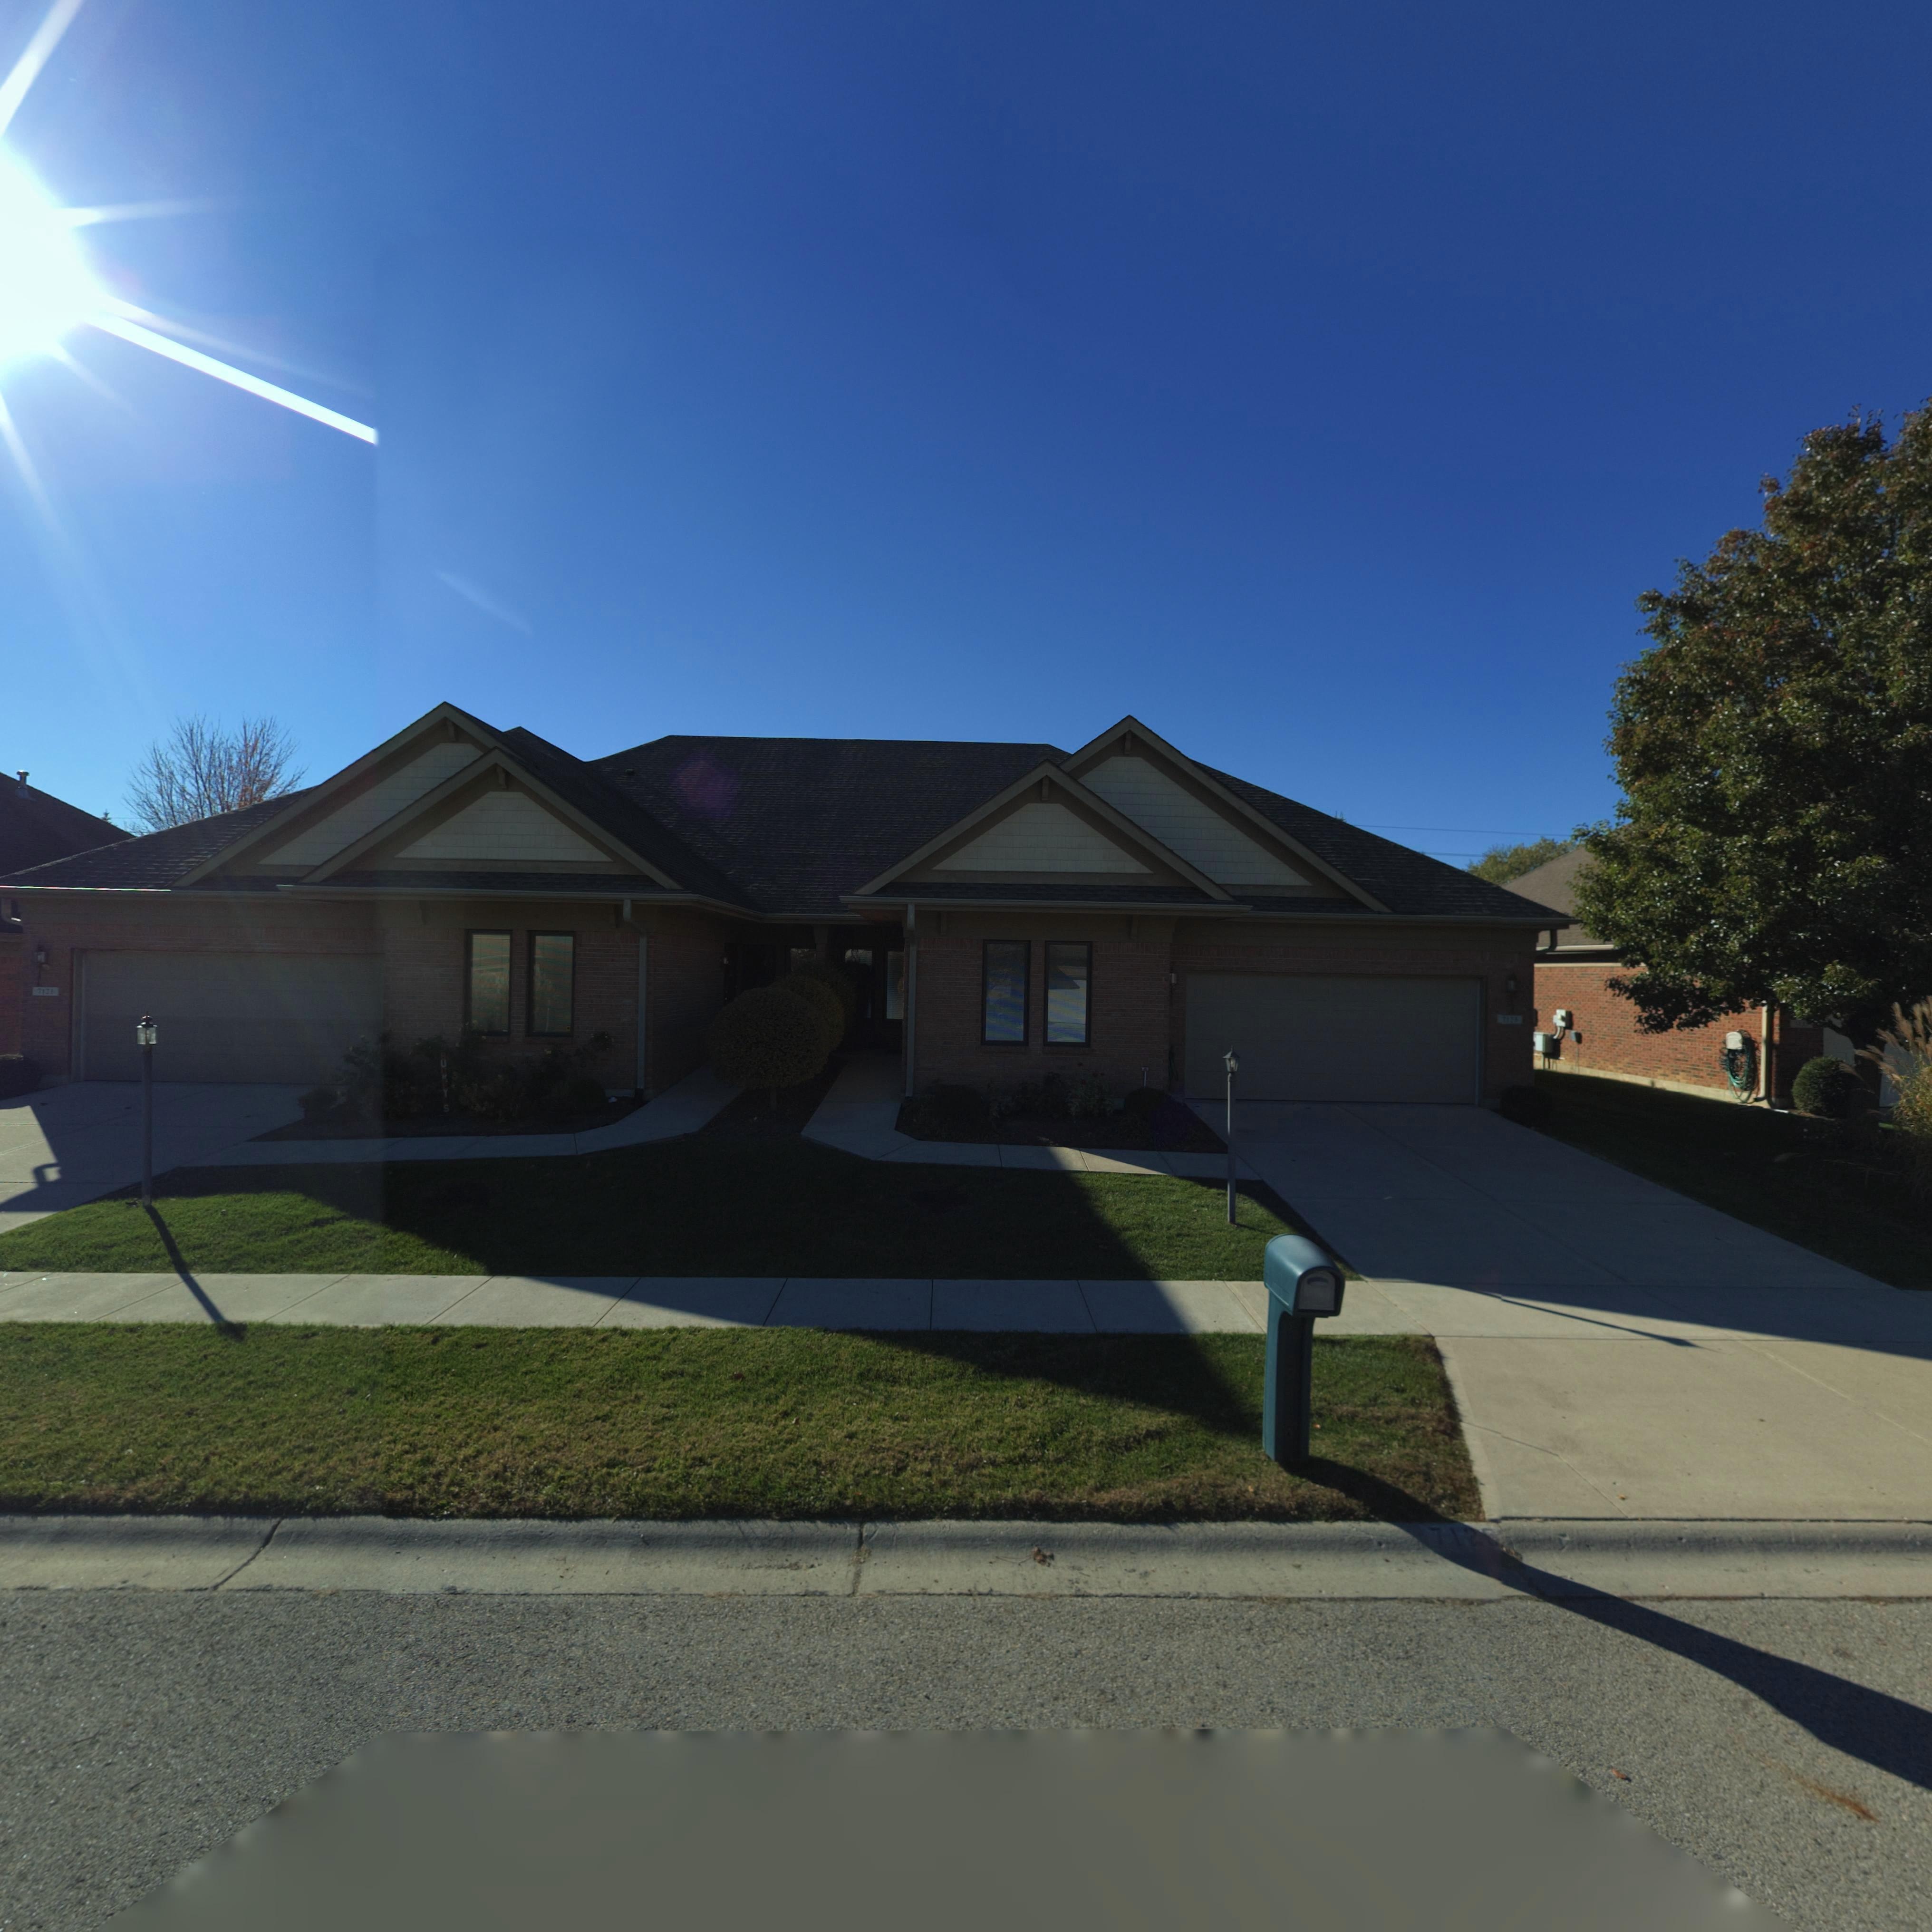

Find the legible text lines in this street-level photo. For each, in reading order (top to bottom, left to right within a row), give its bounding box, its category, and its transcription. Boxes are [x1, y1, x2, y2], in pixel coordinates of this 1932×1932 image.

[37, 988, 54, 995] StreetNumber: 7121
[1501, 1015, 1518, 1023] StreetNumber: 7*25
[1427, 1526, 1502, 1547] StreetNumber: 7120